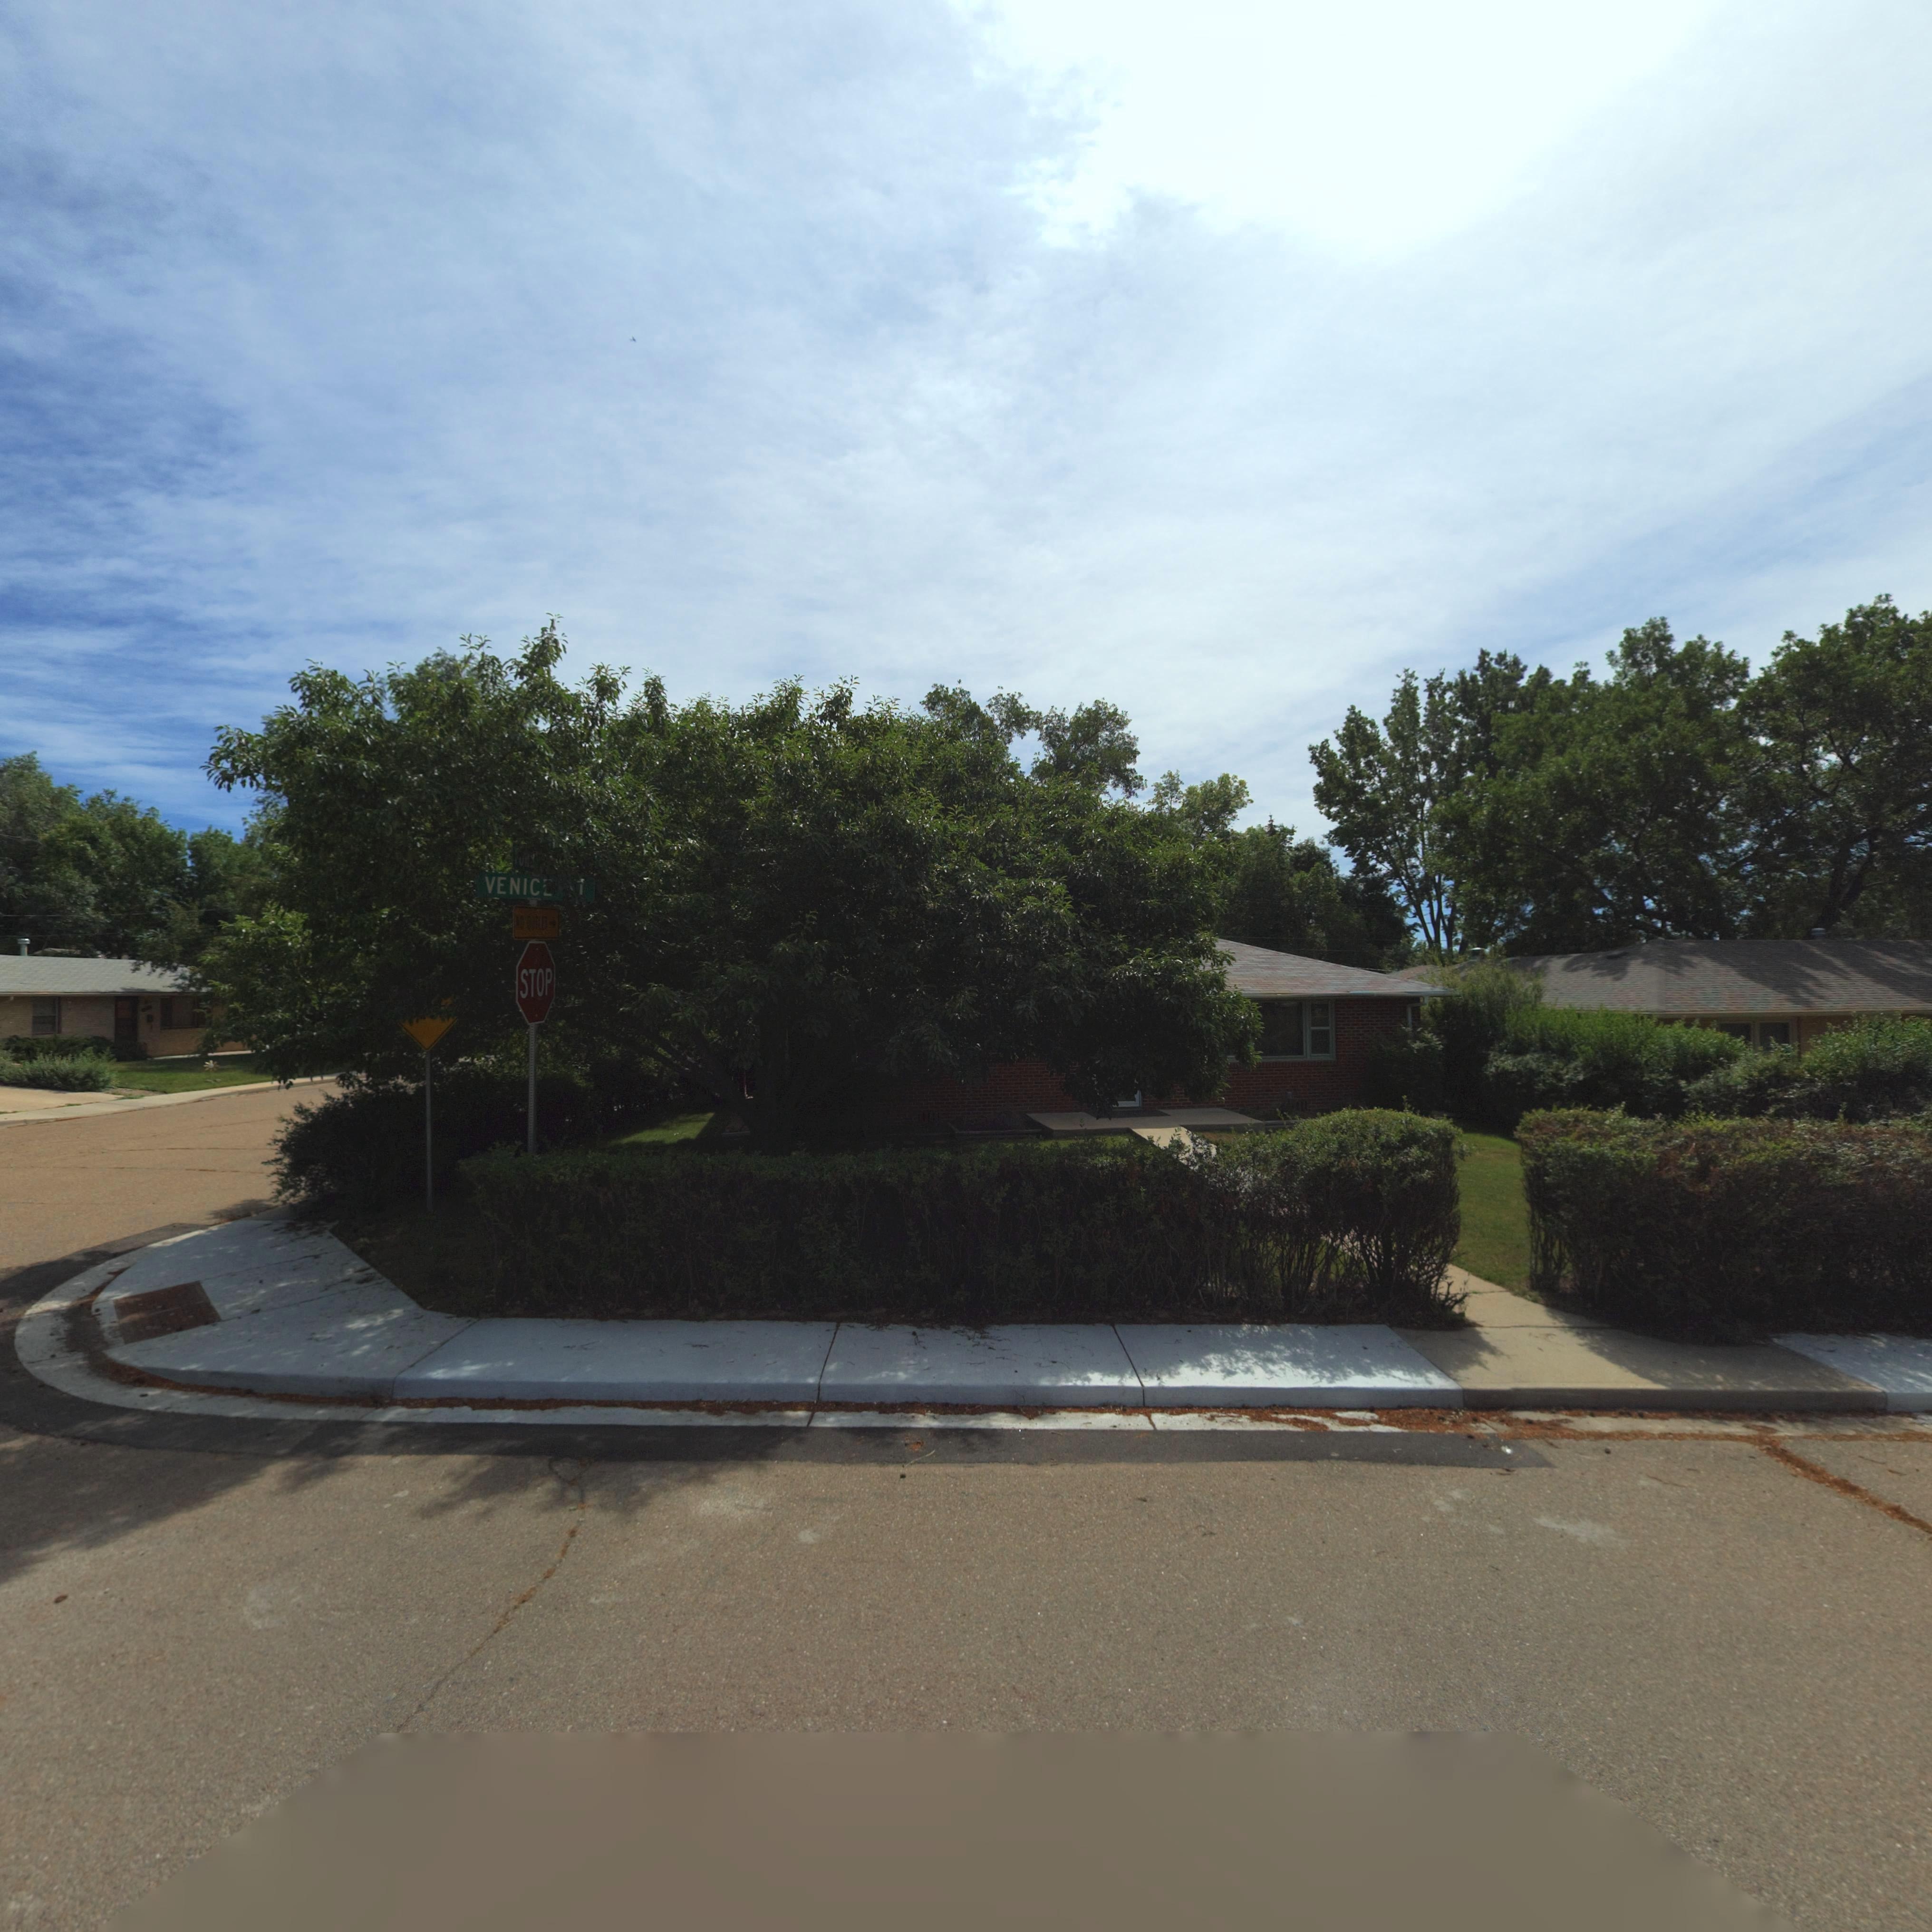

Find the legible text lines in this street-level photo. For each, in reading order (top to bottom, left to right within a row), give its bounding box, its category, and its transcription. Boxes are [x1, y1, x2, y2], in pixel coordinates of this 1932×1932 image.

[483, 875, 587, 897] StreetName: VENIC* *T